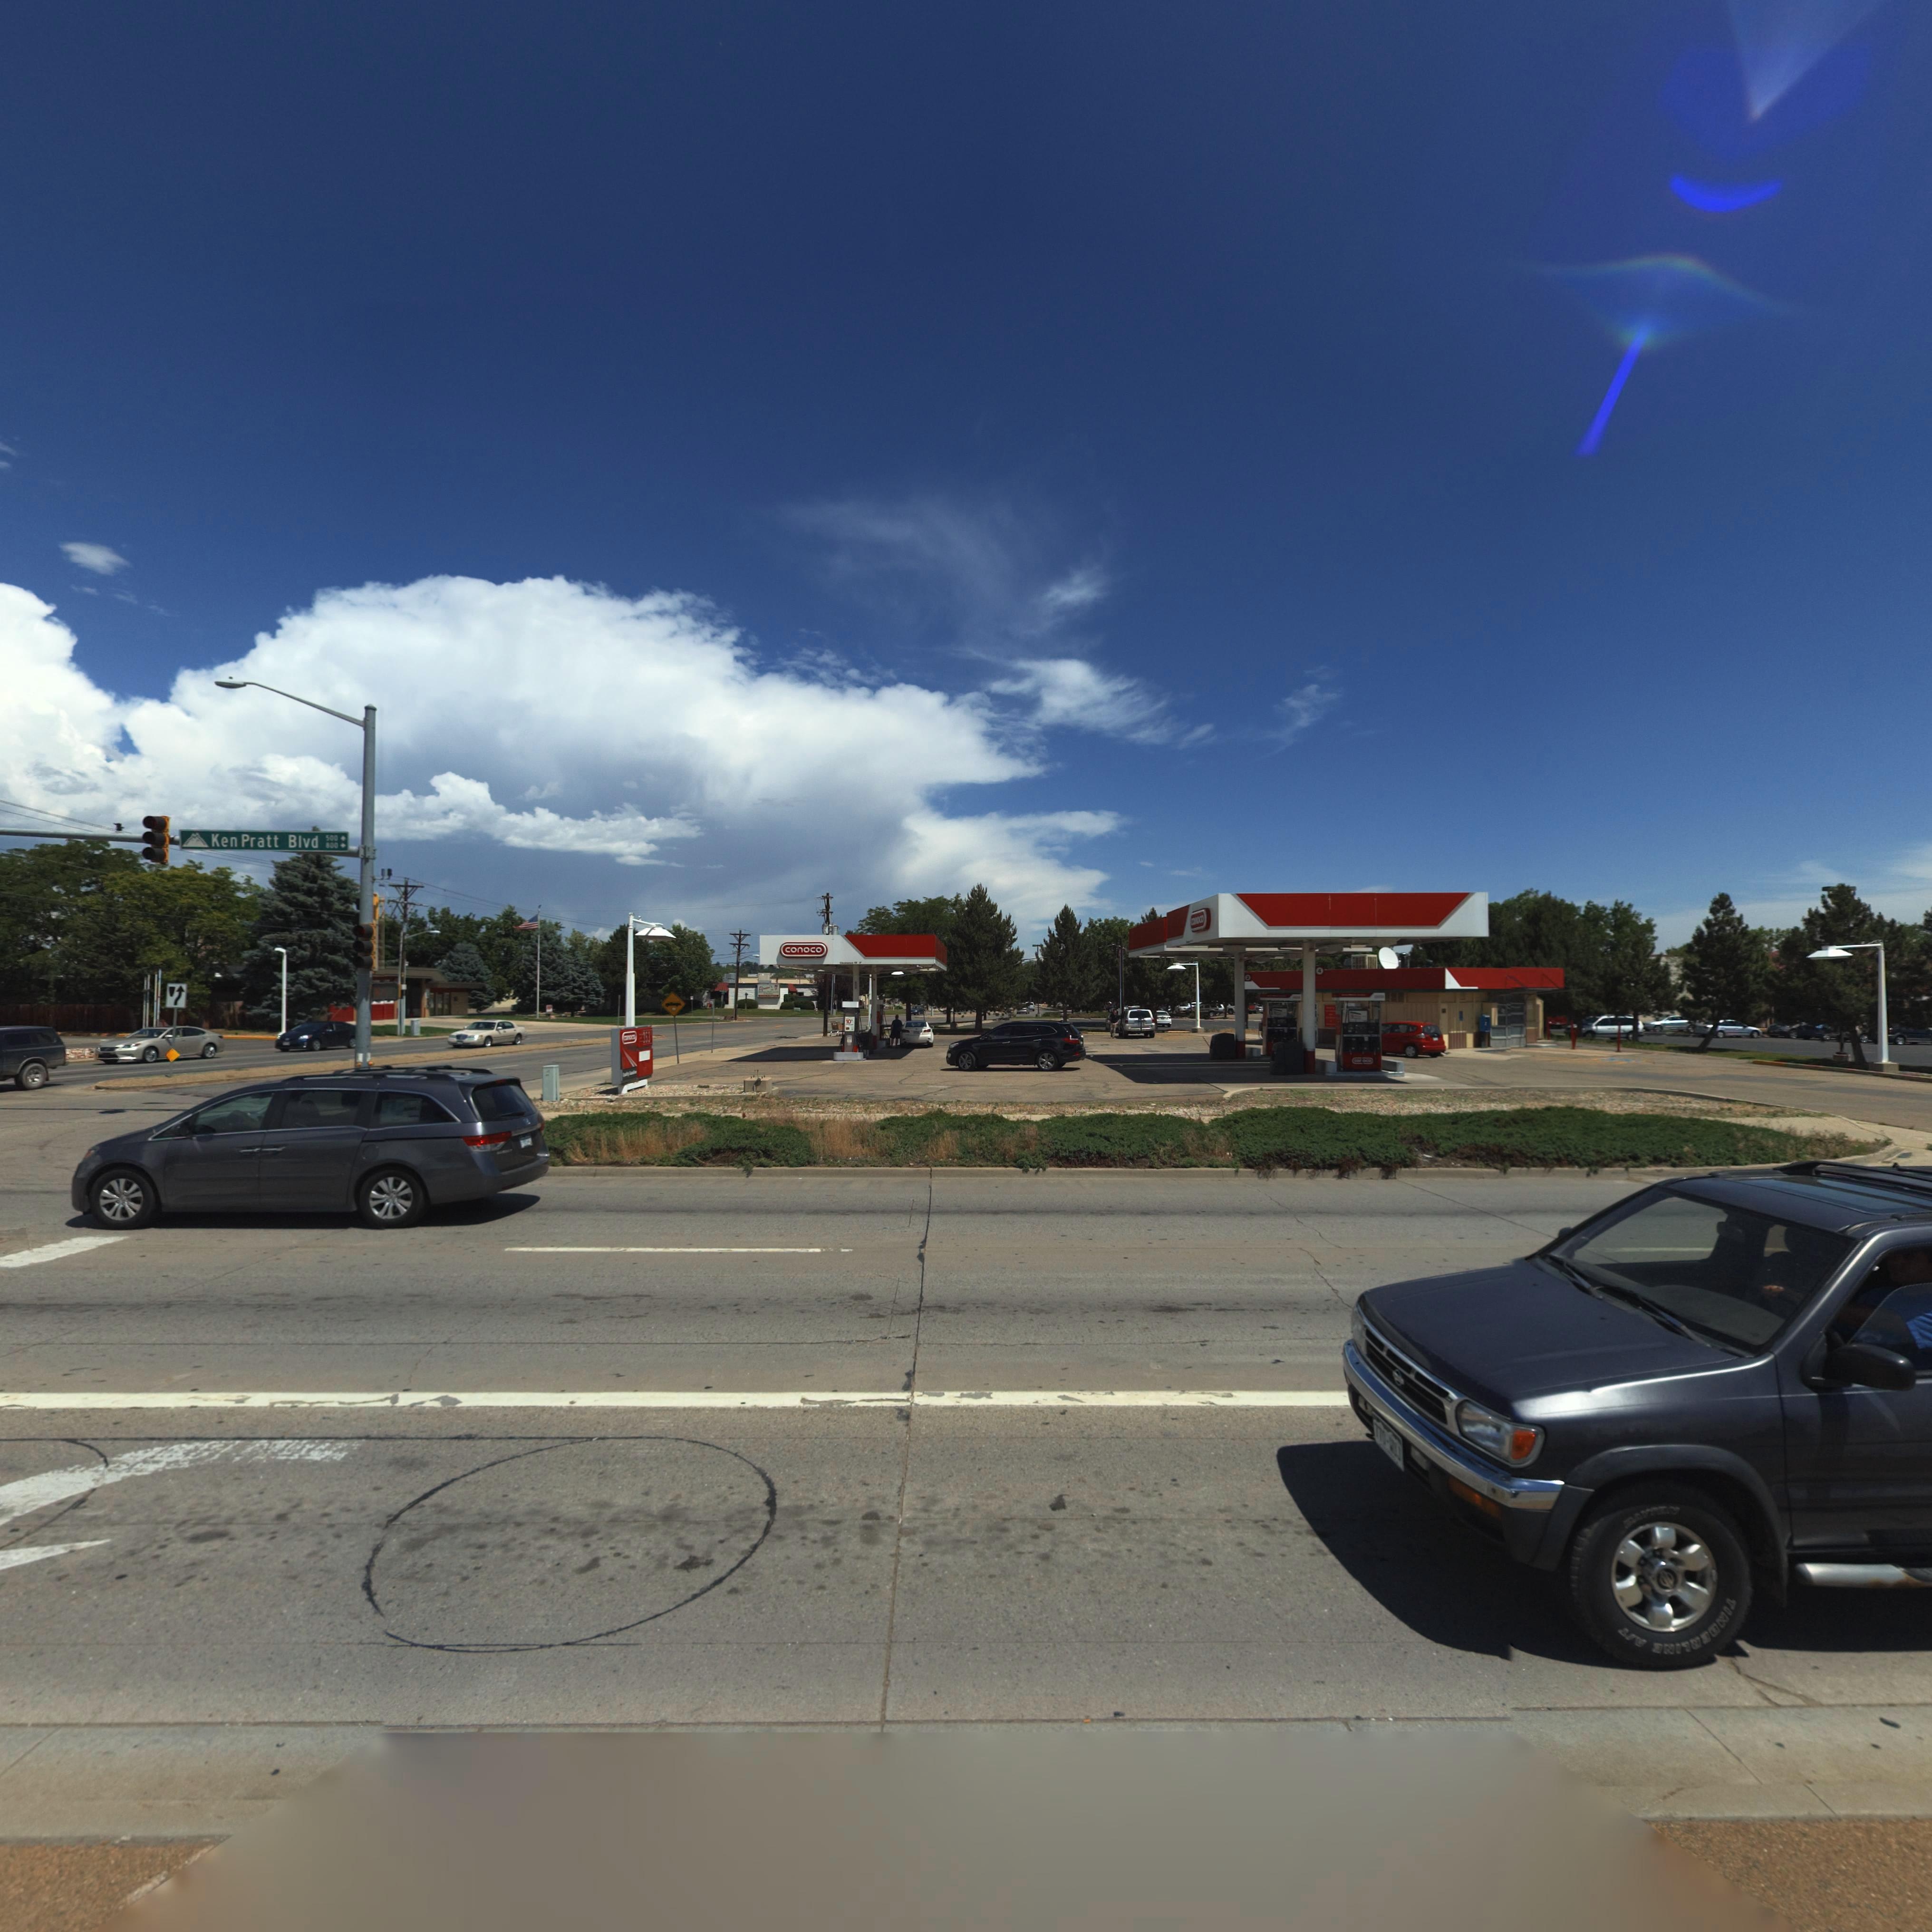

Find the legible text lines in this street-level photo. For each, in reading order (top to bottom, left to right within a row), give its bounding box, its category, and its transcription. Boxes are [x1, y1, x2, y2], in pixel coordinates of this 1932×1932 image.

[211, 832, 319, 848] StreetName: Ken Pratt Blvd
[325, 835, 338, 841] StreetNumberRange: 500
[325, 842, 346, 848] StreetNumberRange:  800 ->
[1190, 915, 1204, 925] BusinessName: *o*o*o
[785, 947, 822, 953] BusinessName: conoco
[623, 1034, 636, 1041] BusinessName: ***o**